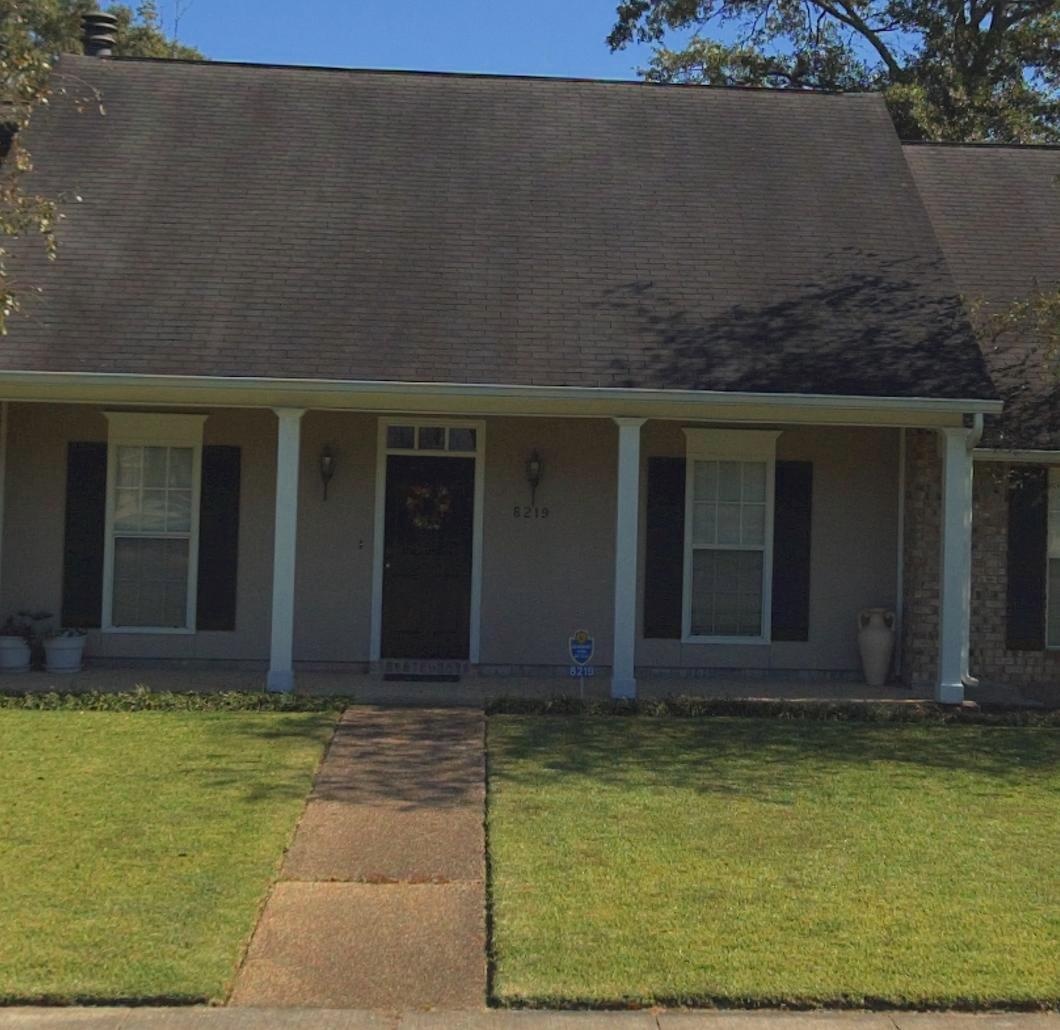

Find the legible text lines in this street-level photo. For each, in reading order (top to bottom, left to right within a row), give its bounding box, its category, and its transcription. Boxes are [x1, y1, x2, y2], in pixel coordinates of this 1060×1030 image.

[512, 505, 550, 519] StreetNumber: 8219
[570, 666, 594, 676] StreetNumber: 8219